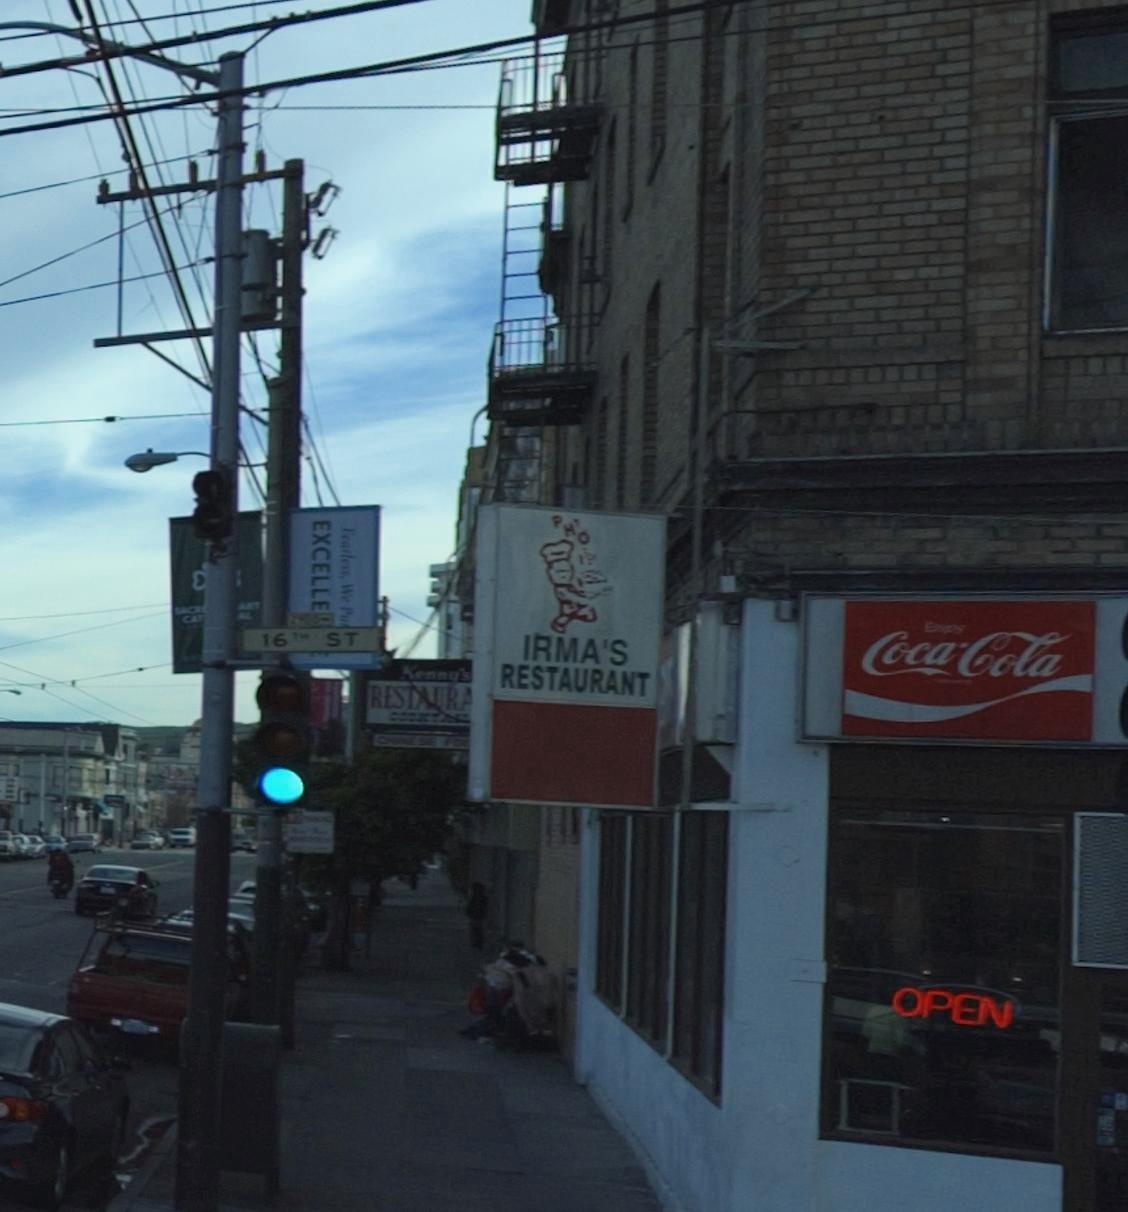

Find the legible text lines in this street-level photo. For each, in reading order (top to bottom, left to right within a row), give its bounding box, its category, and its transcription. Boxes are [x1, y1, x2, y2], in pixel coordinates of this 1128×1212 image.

[307, 517, 335, 613] None: EXCELLE
[258, 627, 362, 651] StreetName: 16Th ST
[518, 630, 632, 669] BusinessName: IRMA'S
[921, 617, 970, 637] None: Enjoy
[857, 627, 1078, 683] None: CocaCola
[365, 682, 463, 713] None: REST*UR
[395, 661, 474, 689] None: Kenny's
[497, 659, 654, 700] BusinessName: RESTAURANT
[886, 980, 1020, 1035] None: OPEN